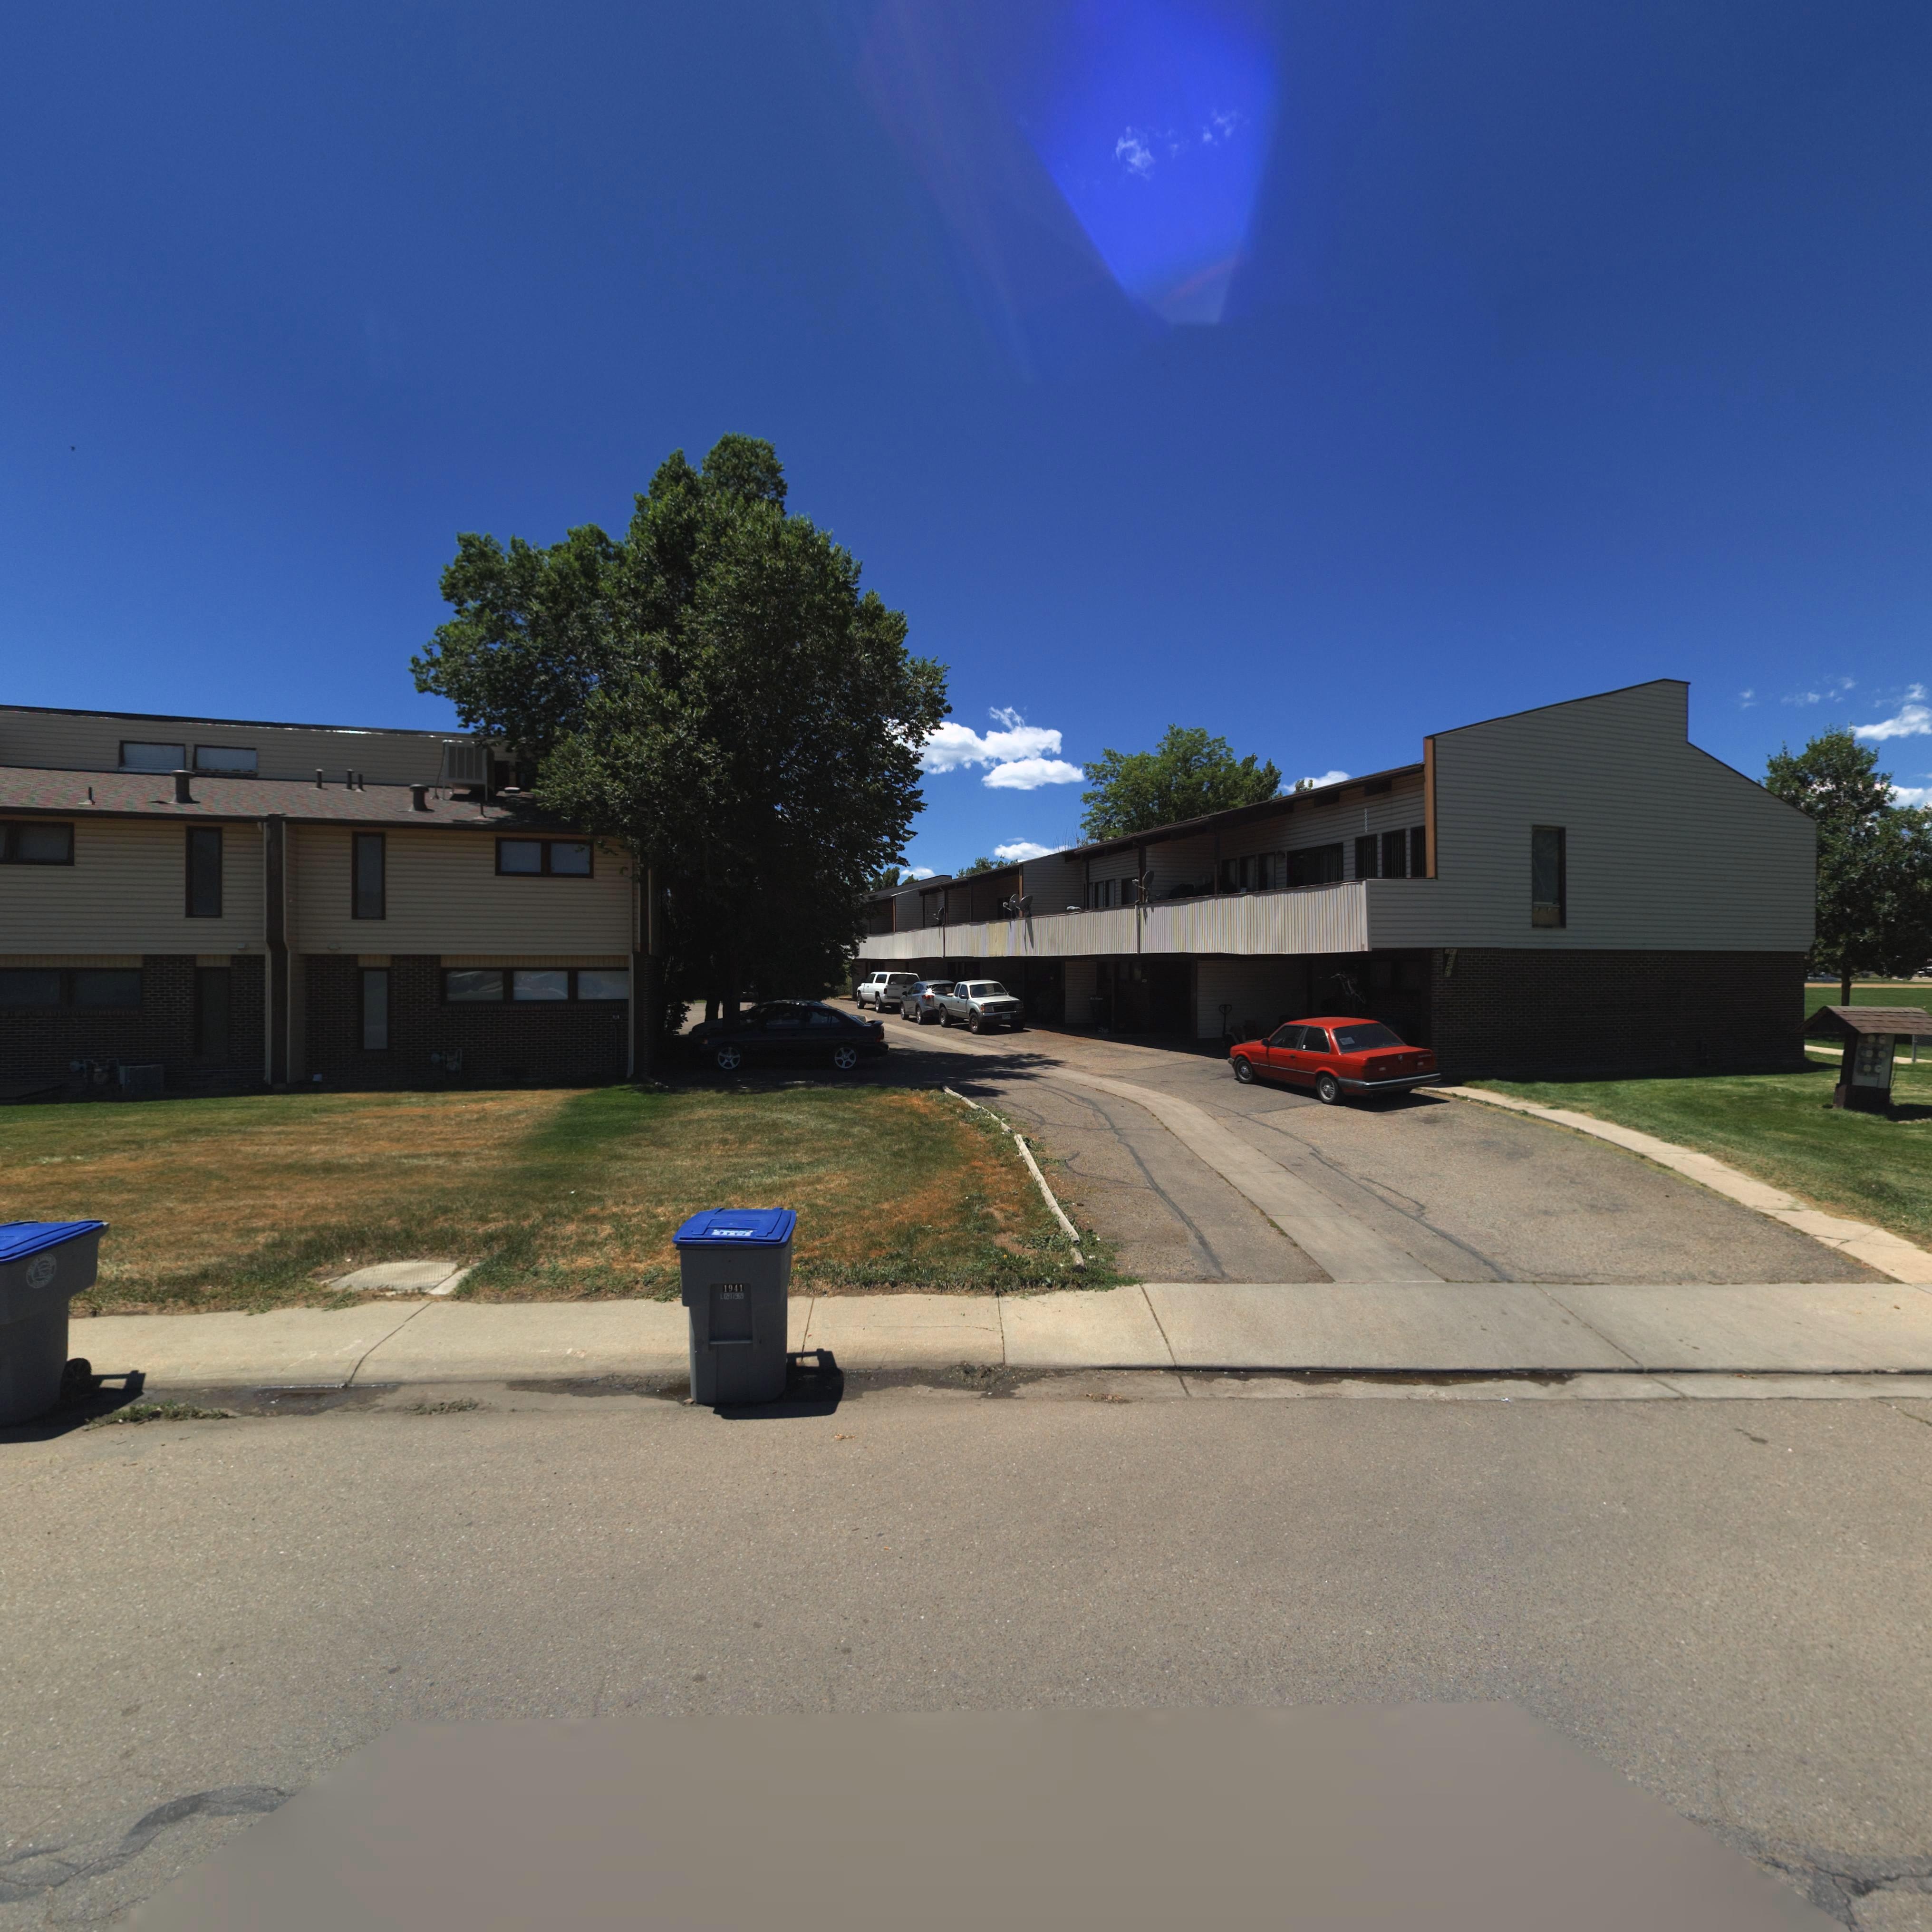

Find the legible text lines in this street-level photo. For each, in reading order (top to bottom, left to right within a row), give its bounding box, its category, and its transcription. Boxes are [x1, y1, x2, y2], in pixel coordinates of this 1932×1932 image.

[1445, 948, 1456, 953] StreetNumber: 1941
[1449, 953, 1455, 957] StreetNumber: 4*
[1448, 957, 1454, 962] StreetNumber: 45
[1446, 962, 1453, 967] StreetNumber: 47
[1445, 967, 1451, 972] StreetNumber: 49
[1444, 972, 1450, 976] StreetNumber: 51
[724, 1284, 742, 1292] StreetNumber: 1941